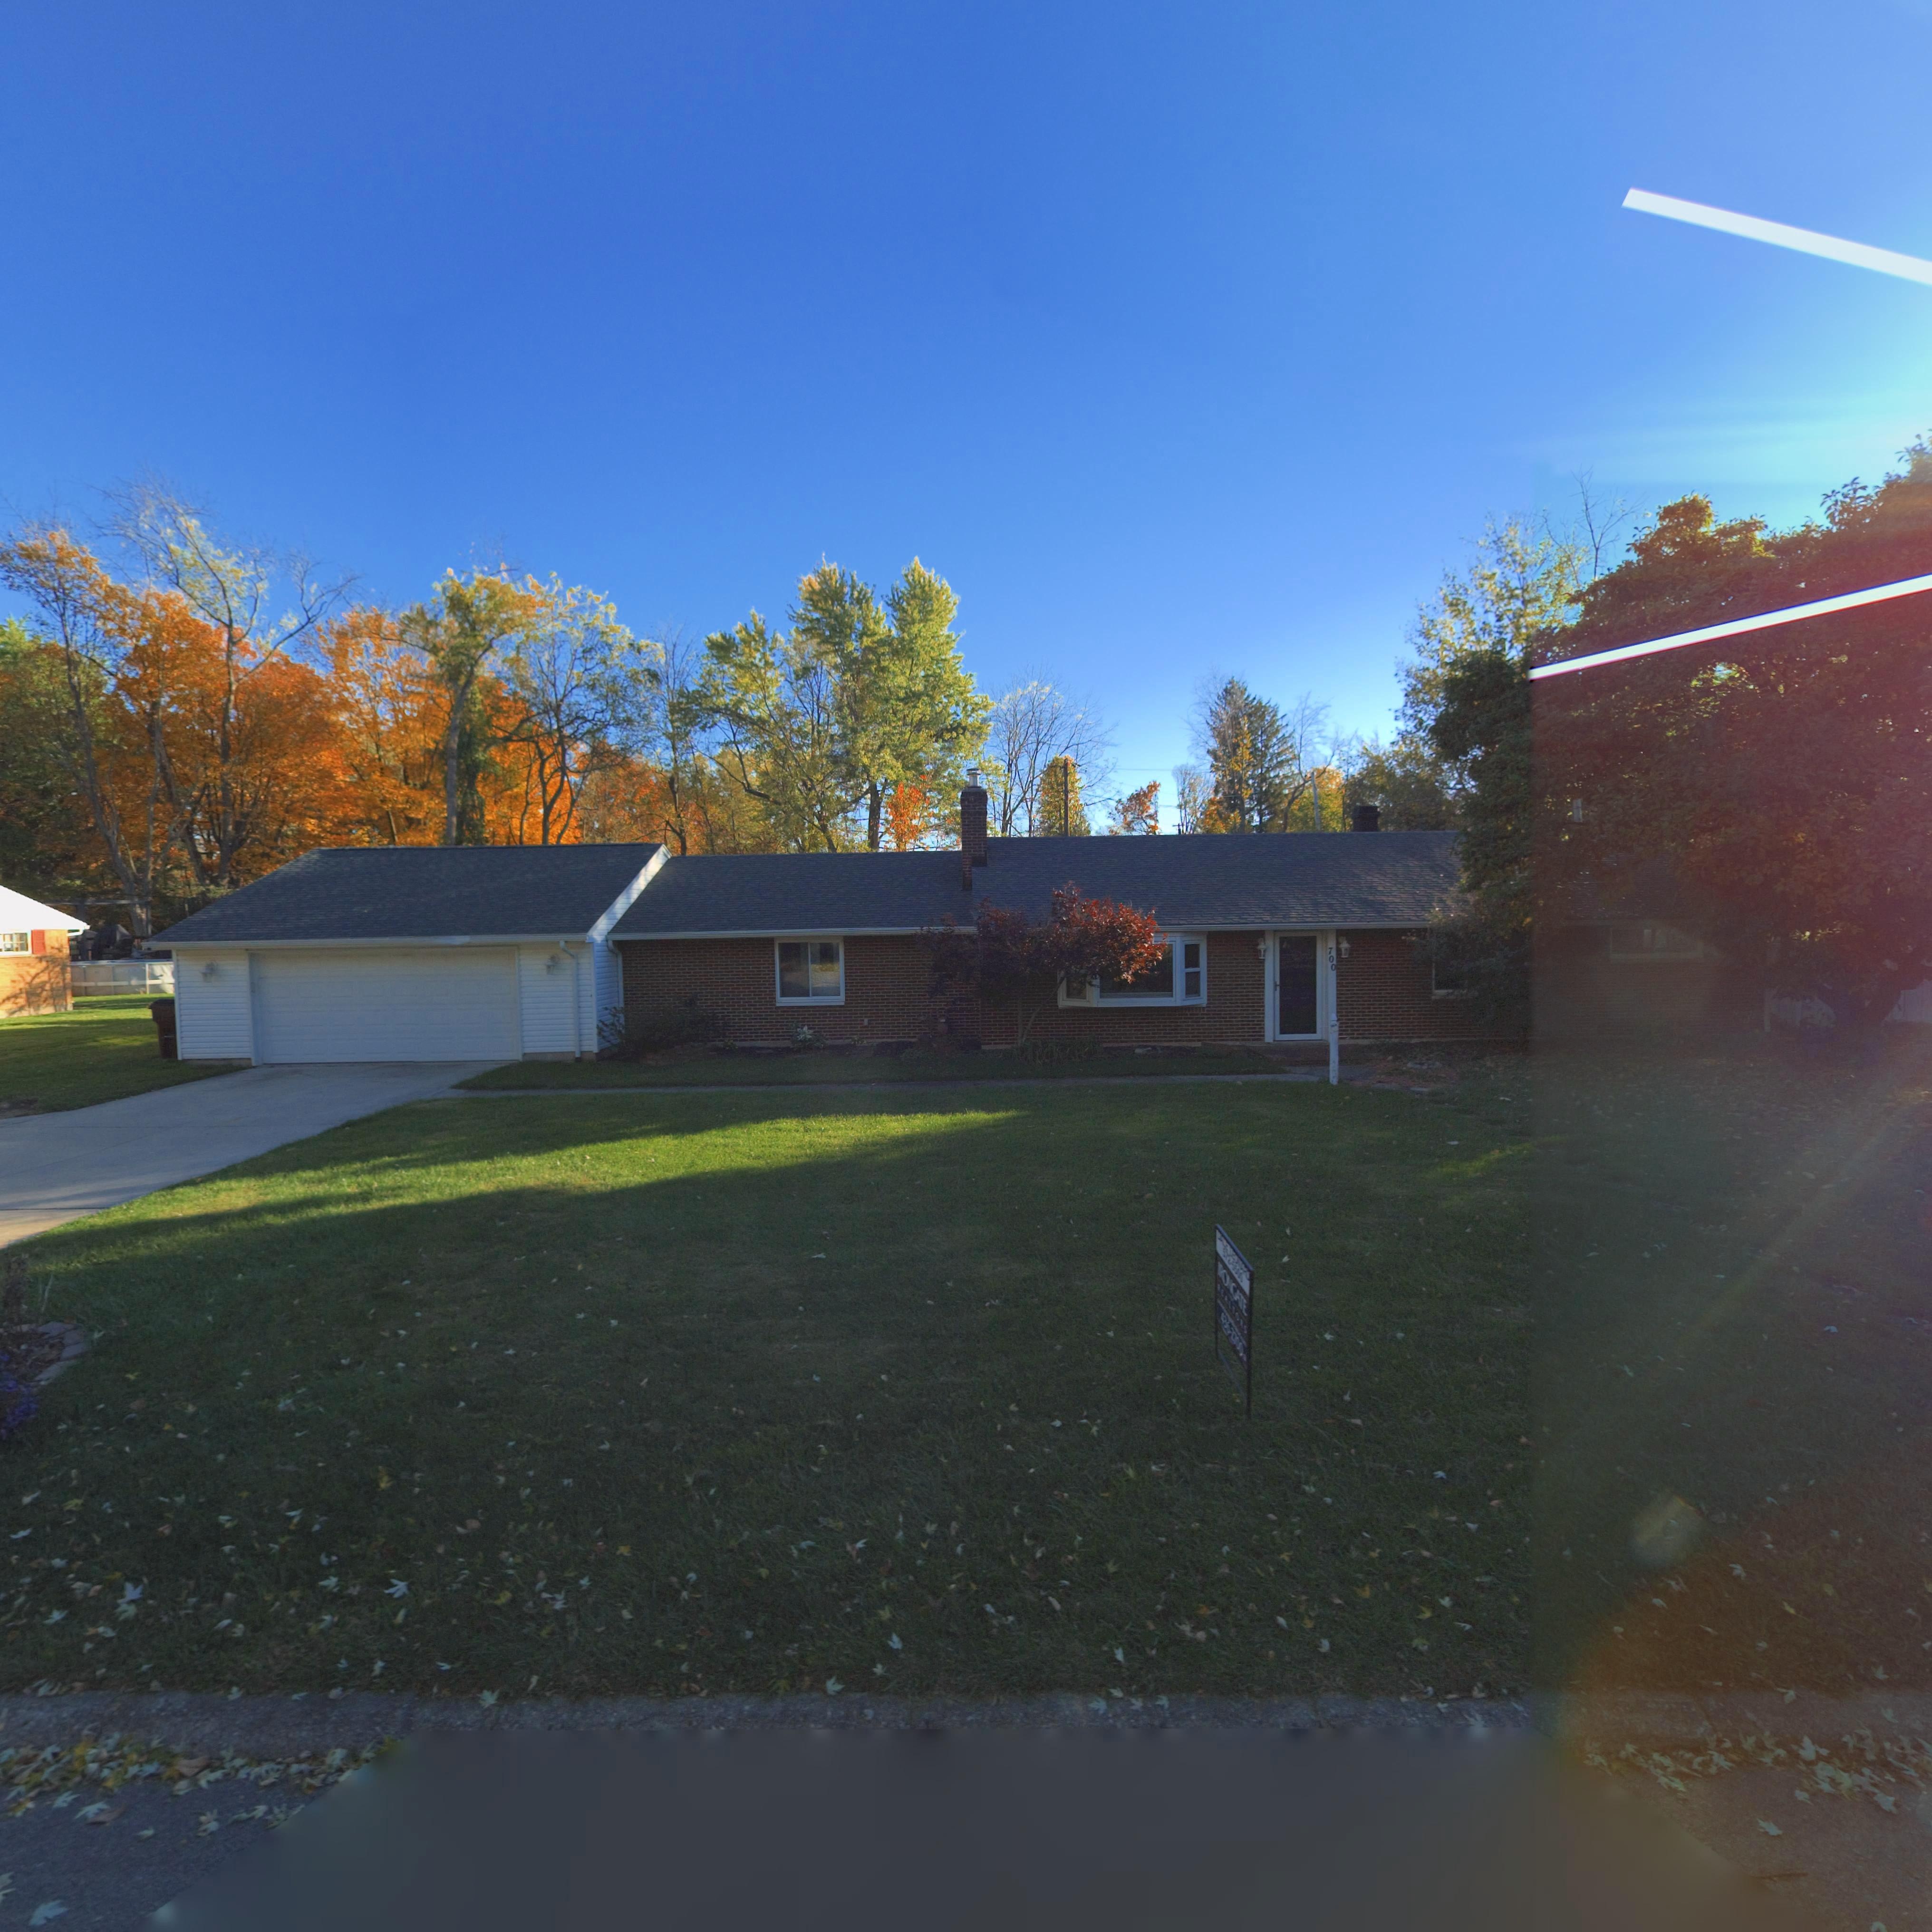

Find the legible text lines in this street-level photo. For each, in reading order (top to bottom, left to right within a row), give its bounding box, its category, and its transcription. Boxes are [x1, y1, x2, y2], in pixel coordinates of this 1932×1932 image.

[1327, 946, 1337, 973] StreetNumber: 700
[1220, 1311, 1245, 1357] None: 436-2***
[1217, 1282, 1248, 1335] None: REALTORS
[1217, 1259, 1249, 1318] None: **ONGATE